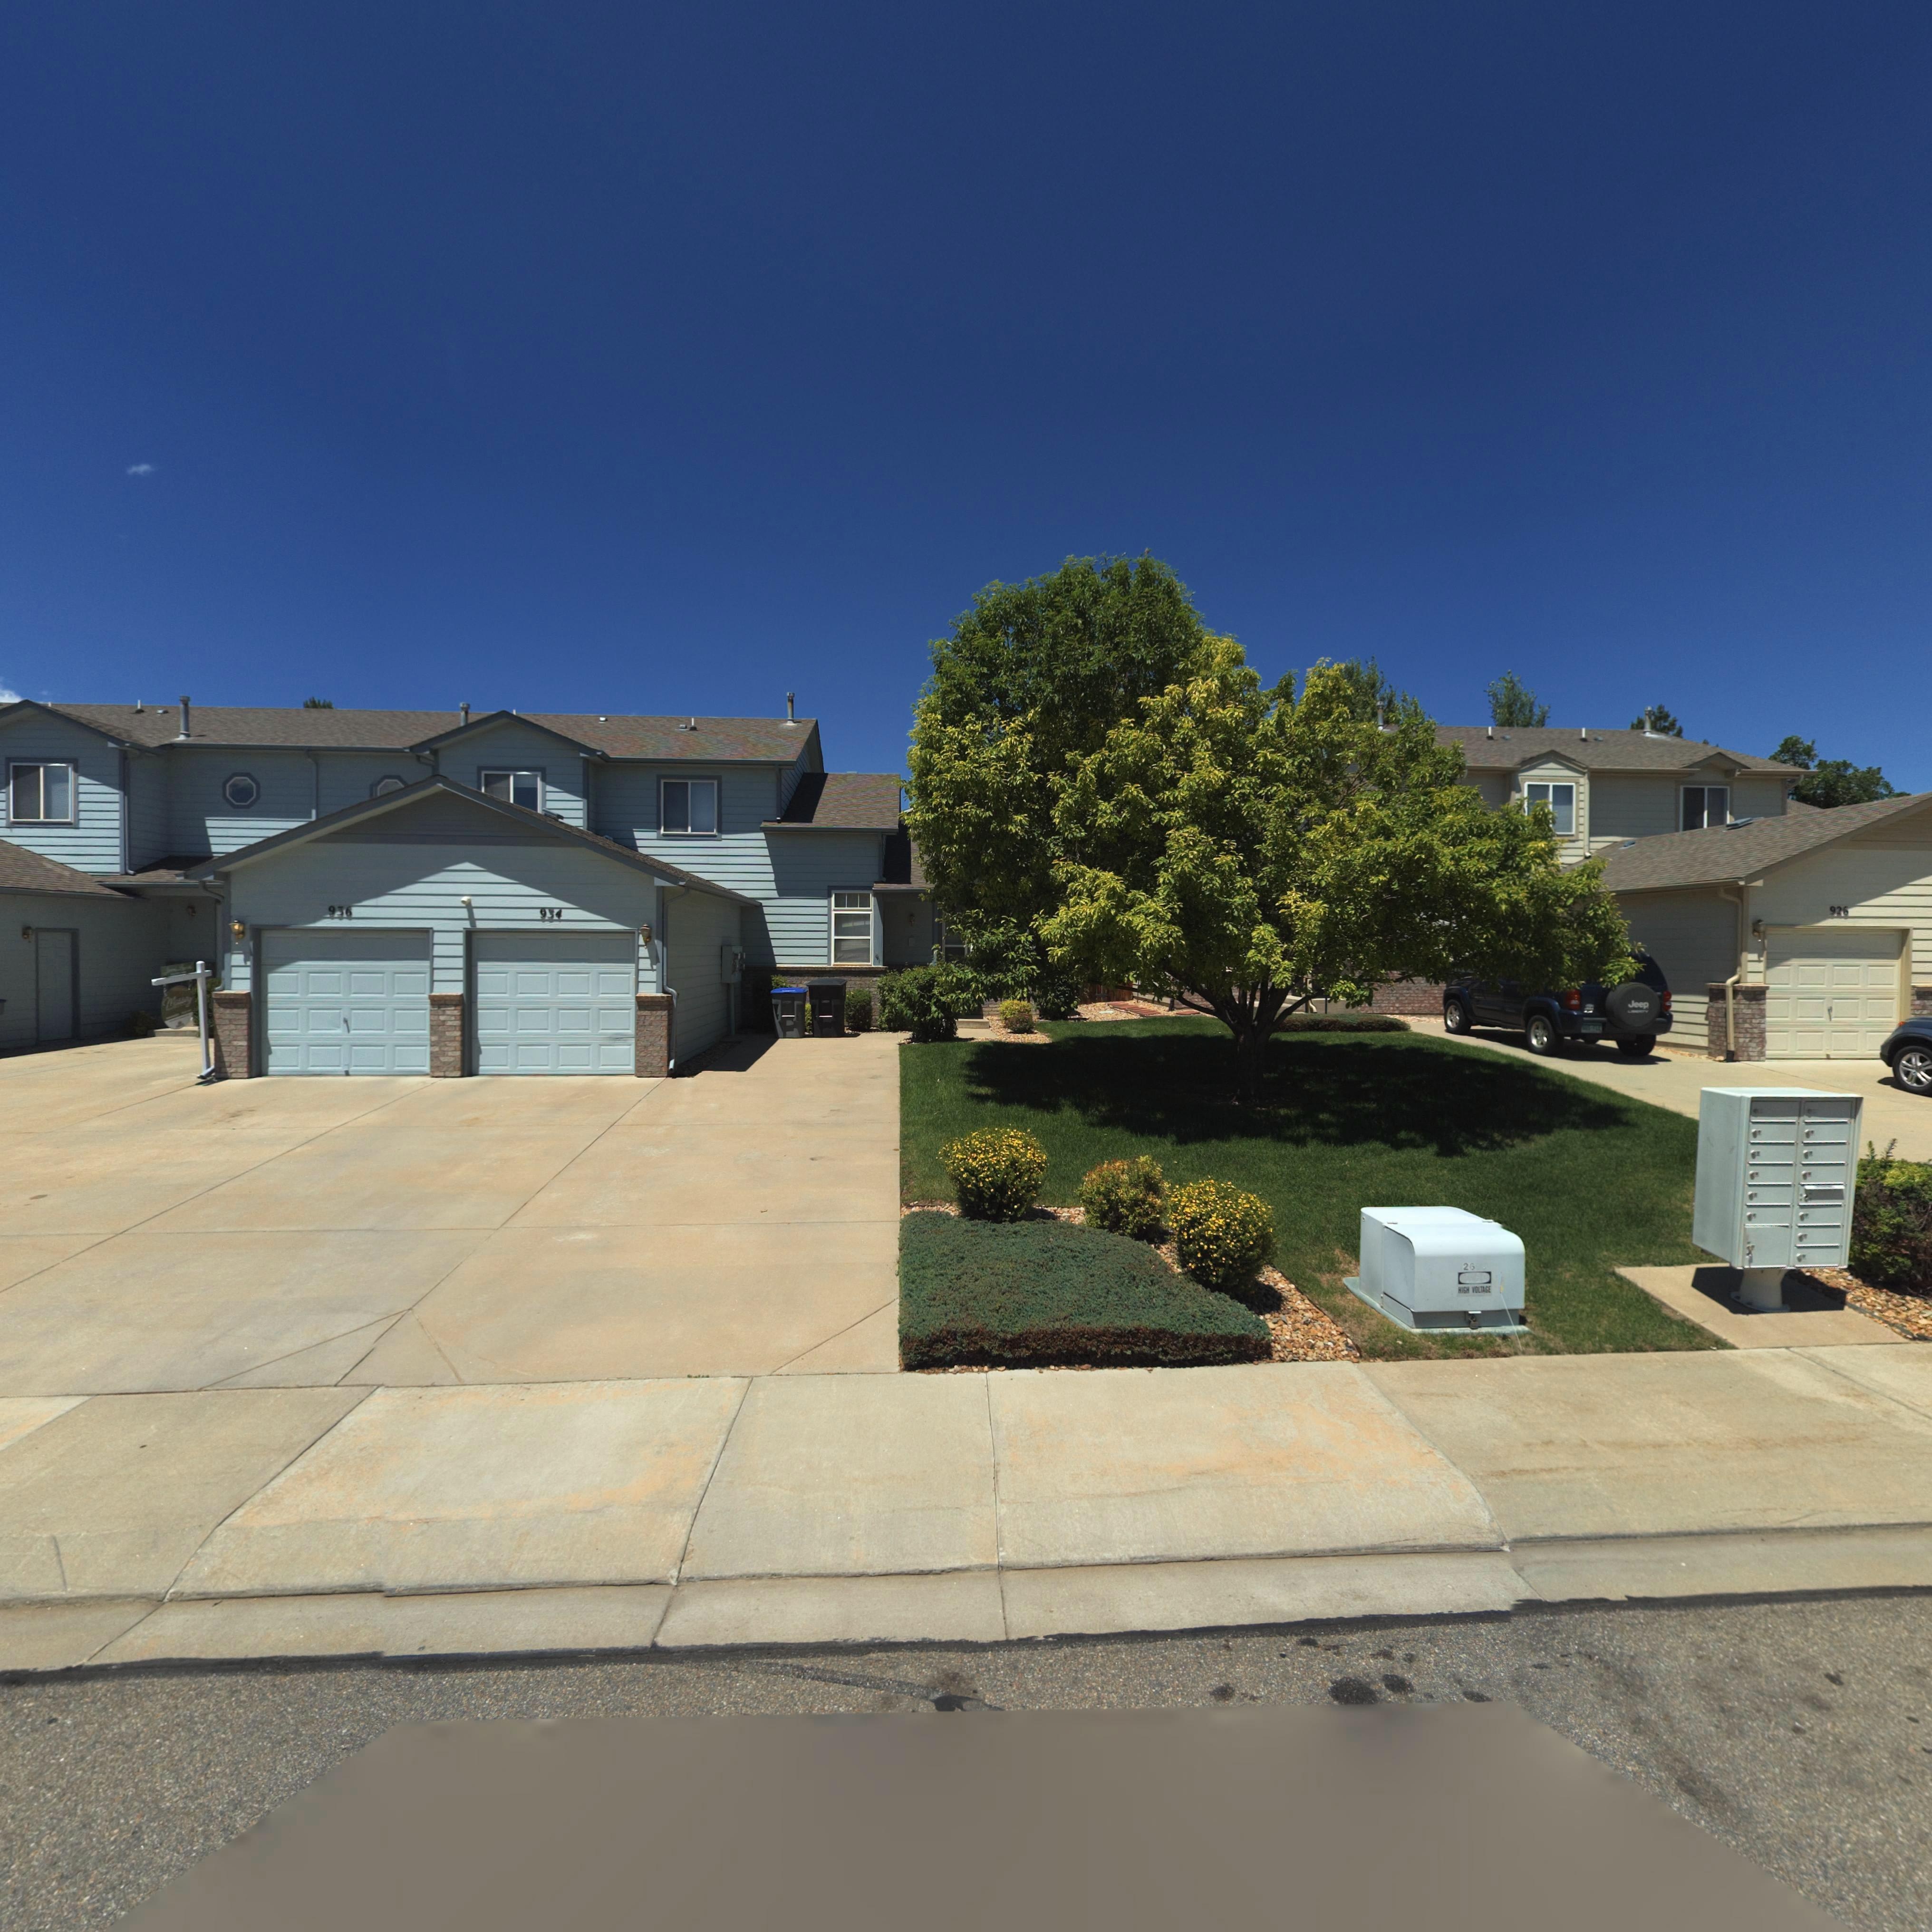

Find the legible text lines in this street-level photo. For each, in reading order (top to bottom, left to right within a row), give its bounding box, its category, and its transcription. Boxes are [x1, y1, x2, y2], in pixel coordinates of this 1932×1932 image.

[328, 905, 351, 918] StreetNumber: 936
[539, 907, 562, 920] StreetNumber: 934
[1829, 905, 1848, 915] StreetNumber: 926